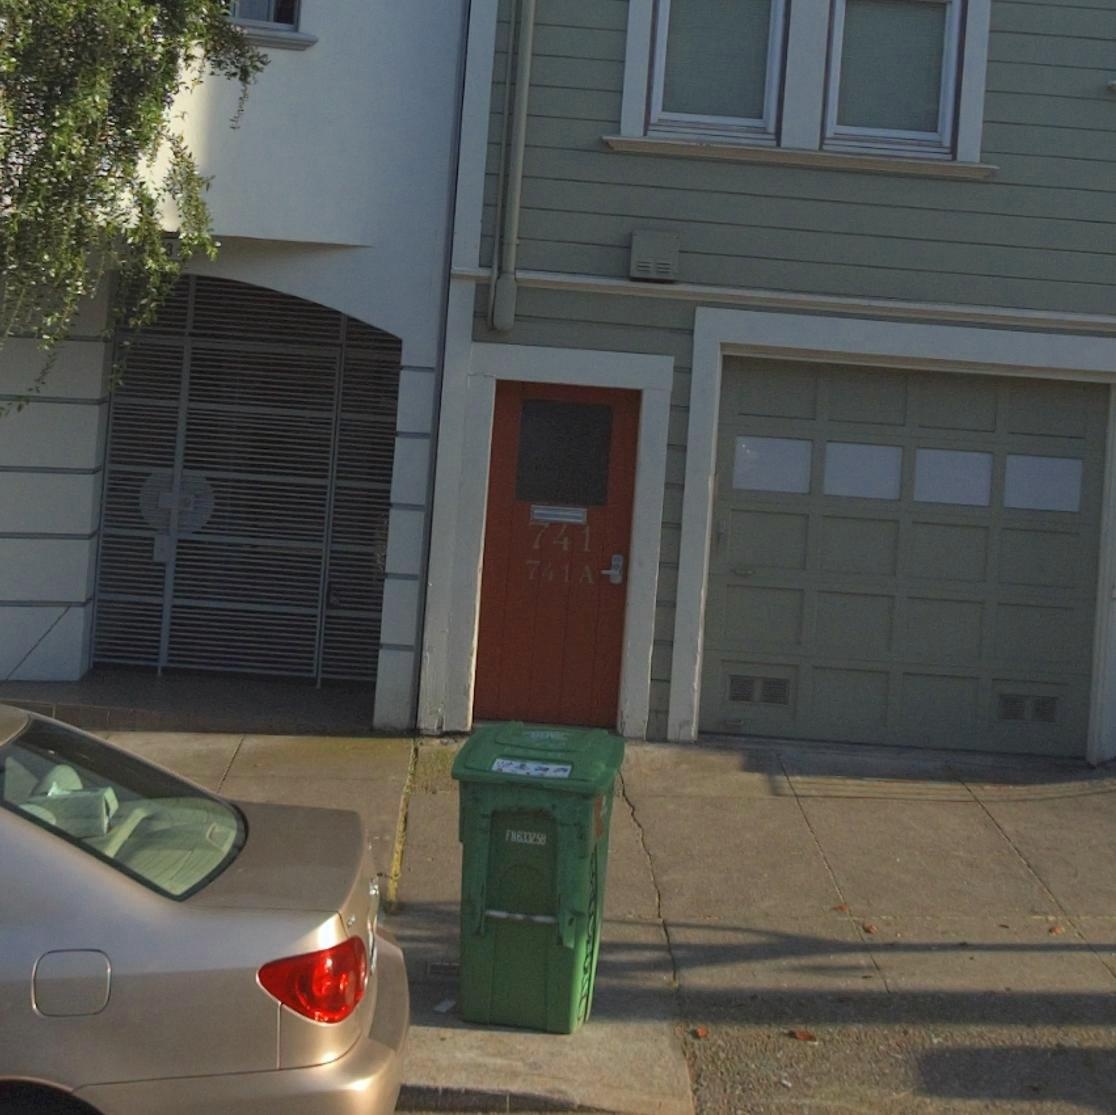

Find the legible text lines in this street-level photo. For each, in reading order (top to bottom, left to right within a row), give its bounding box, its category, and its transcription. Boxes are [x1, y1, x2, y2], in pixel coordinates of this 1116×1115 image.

[524, 518, 593, 556] StreetNumber: 741
[523, 558, 595, 588] StreetNumber: 741A
[502, 827, 549, 849] None: FN633258